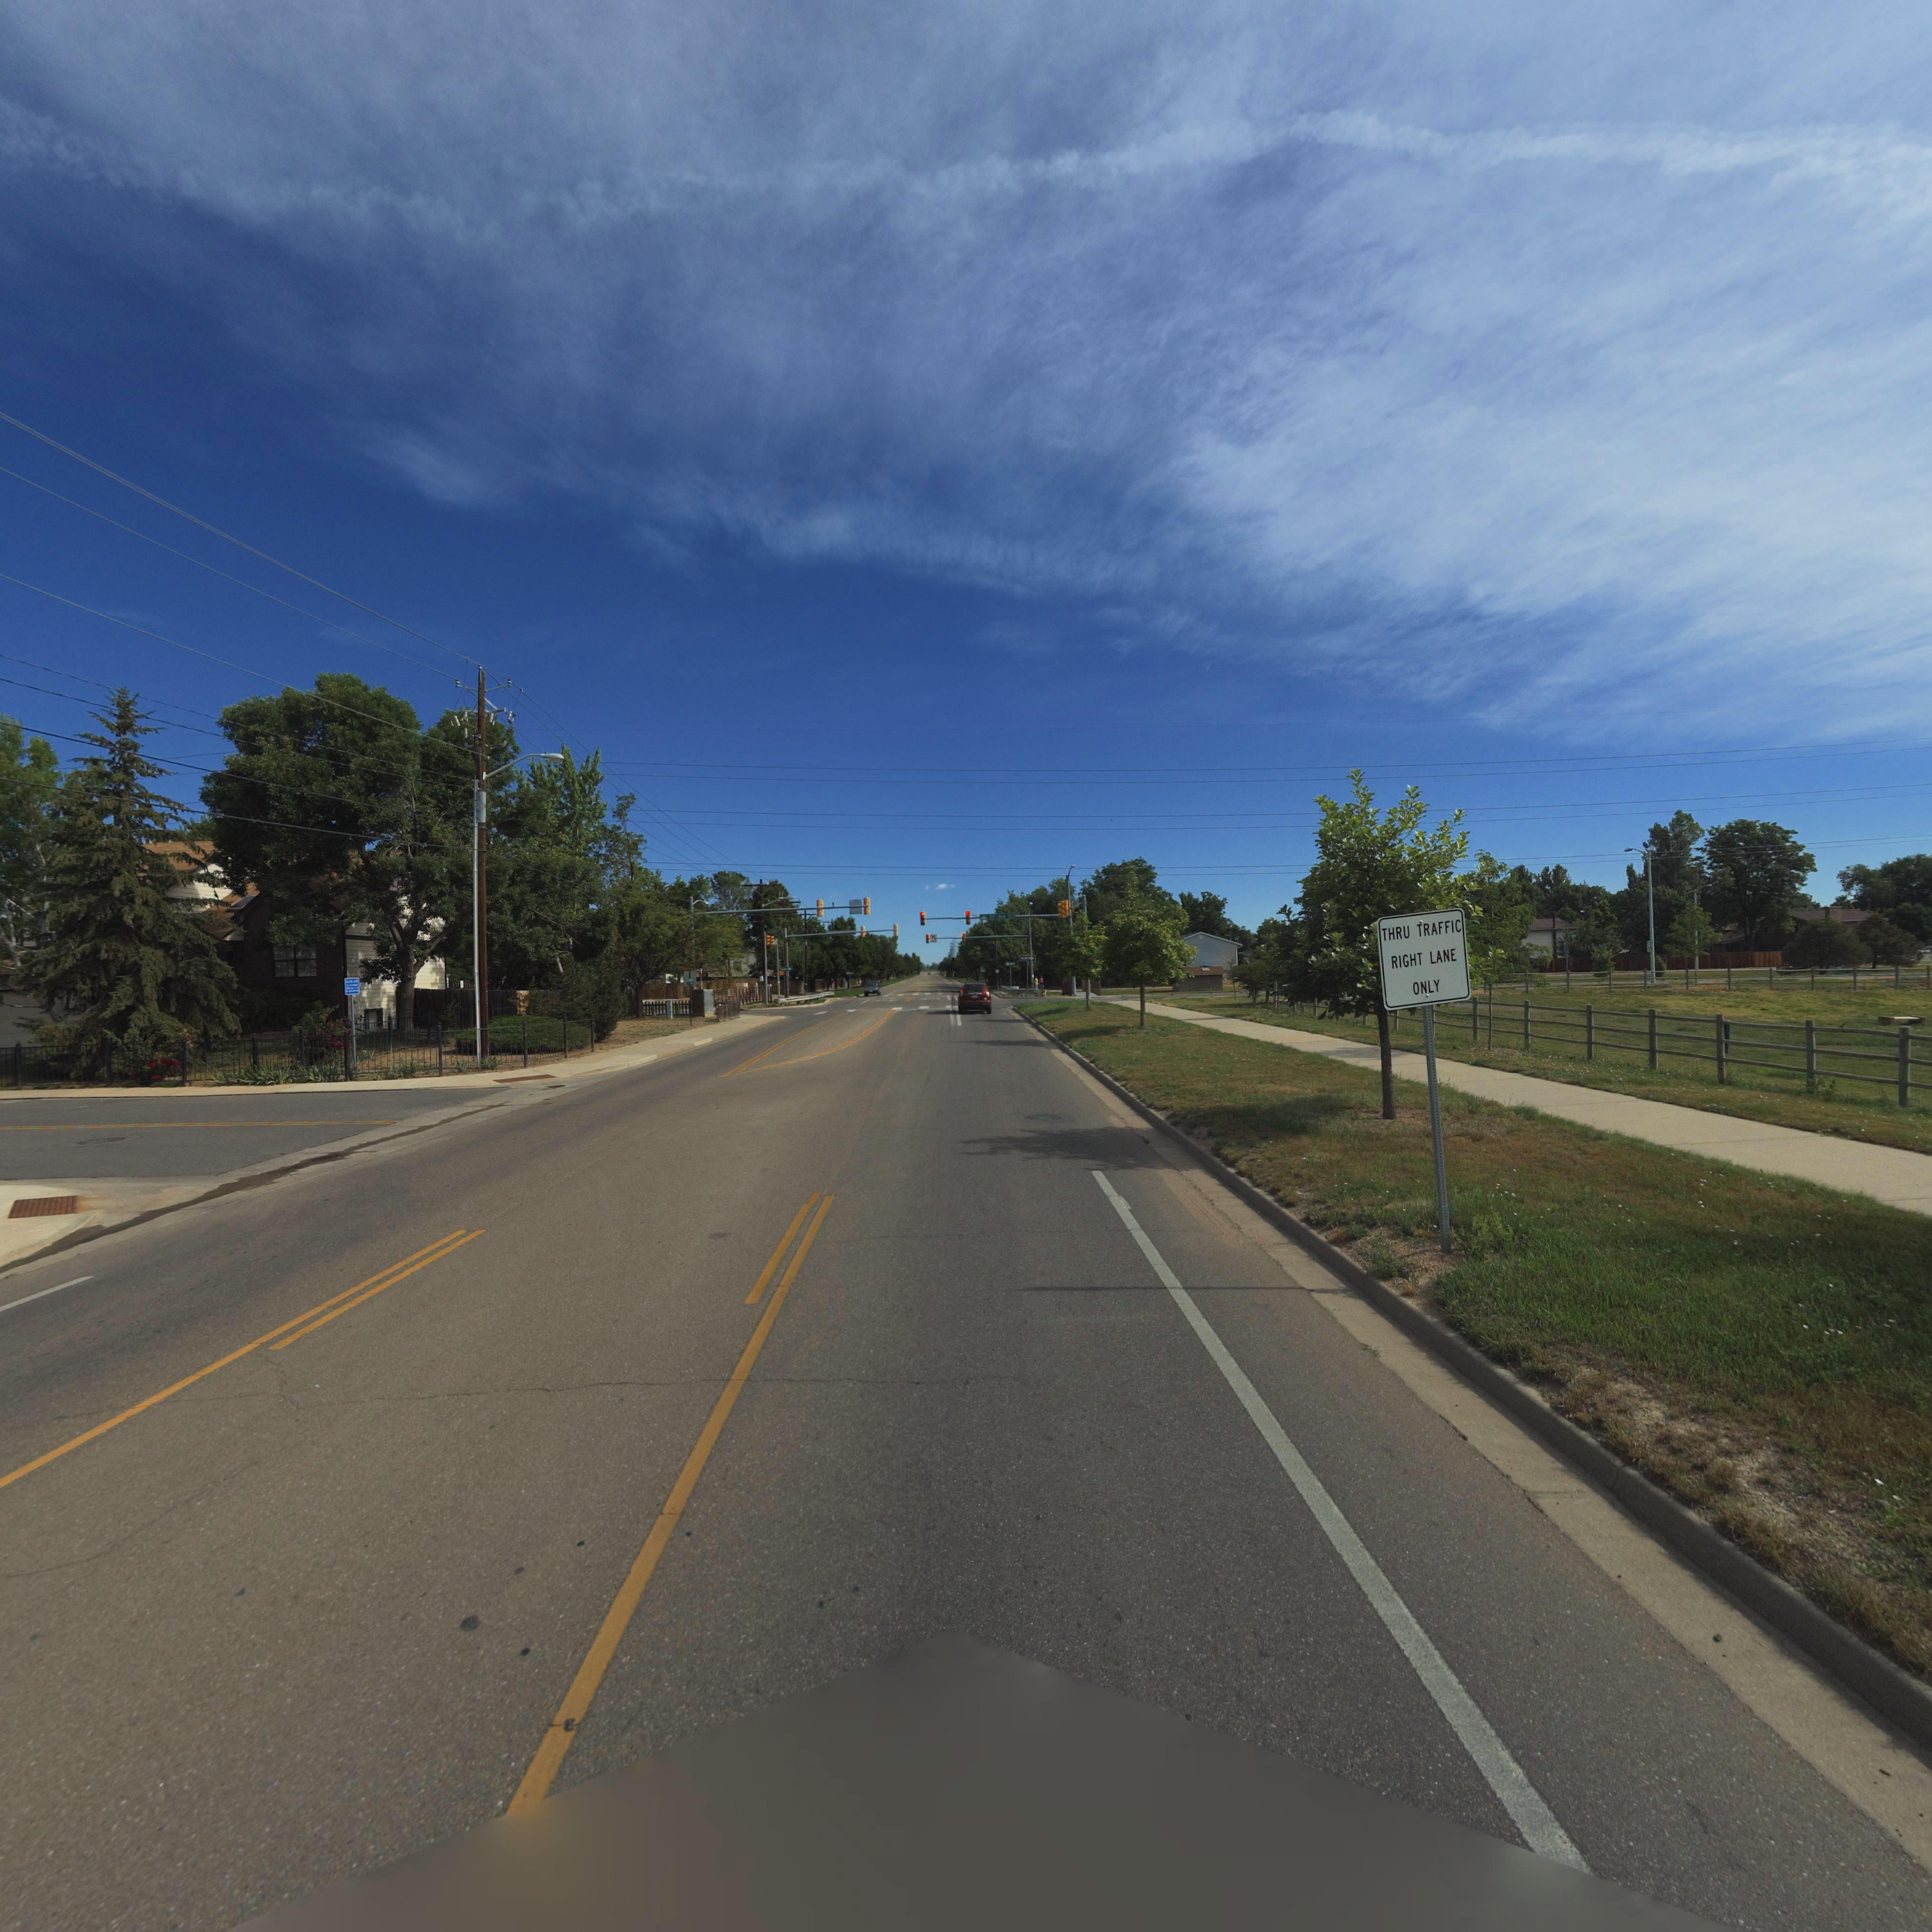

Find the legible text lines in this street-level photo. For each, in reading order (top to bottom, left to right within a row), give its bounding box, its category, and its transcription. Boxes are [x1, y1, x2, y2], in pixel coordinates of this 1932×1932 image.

[989, 914, 1006, 919] StreetName: 21** Ave